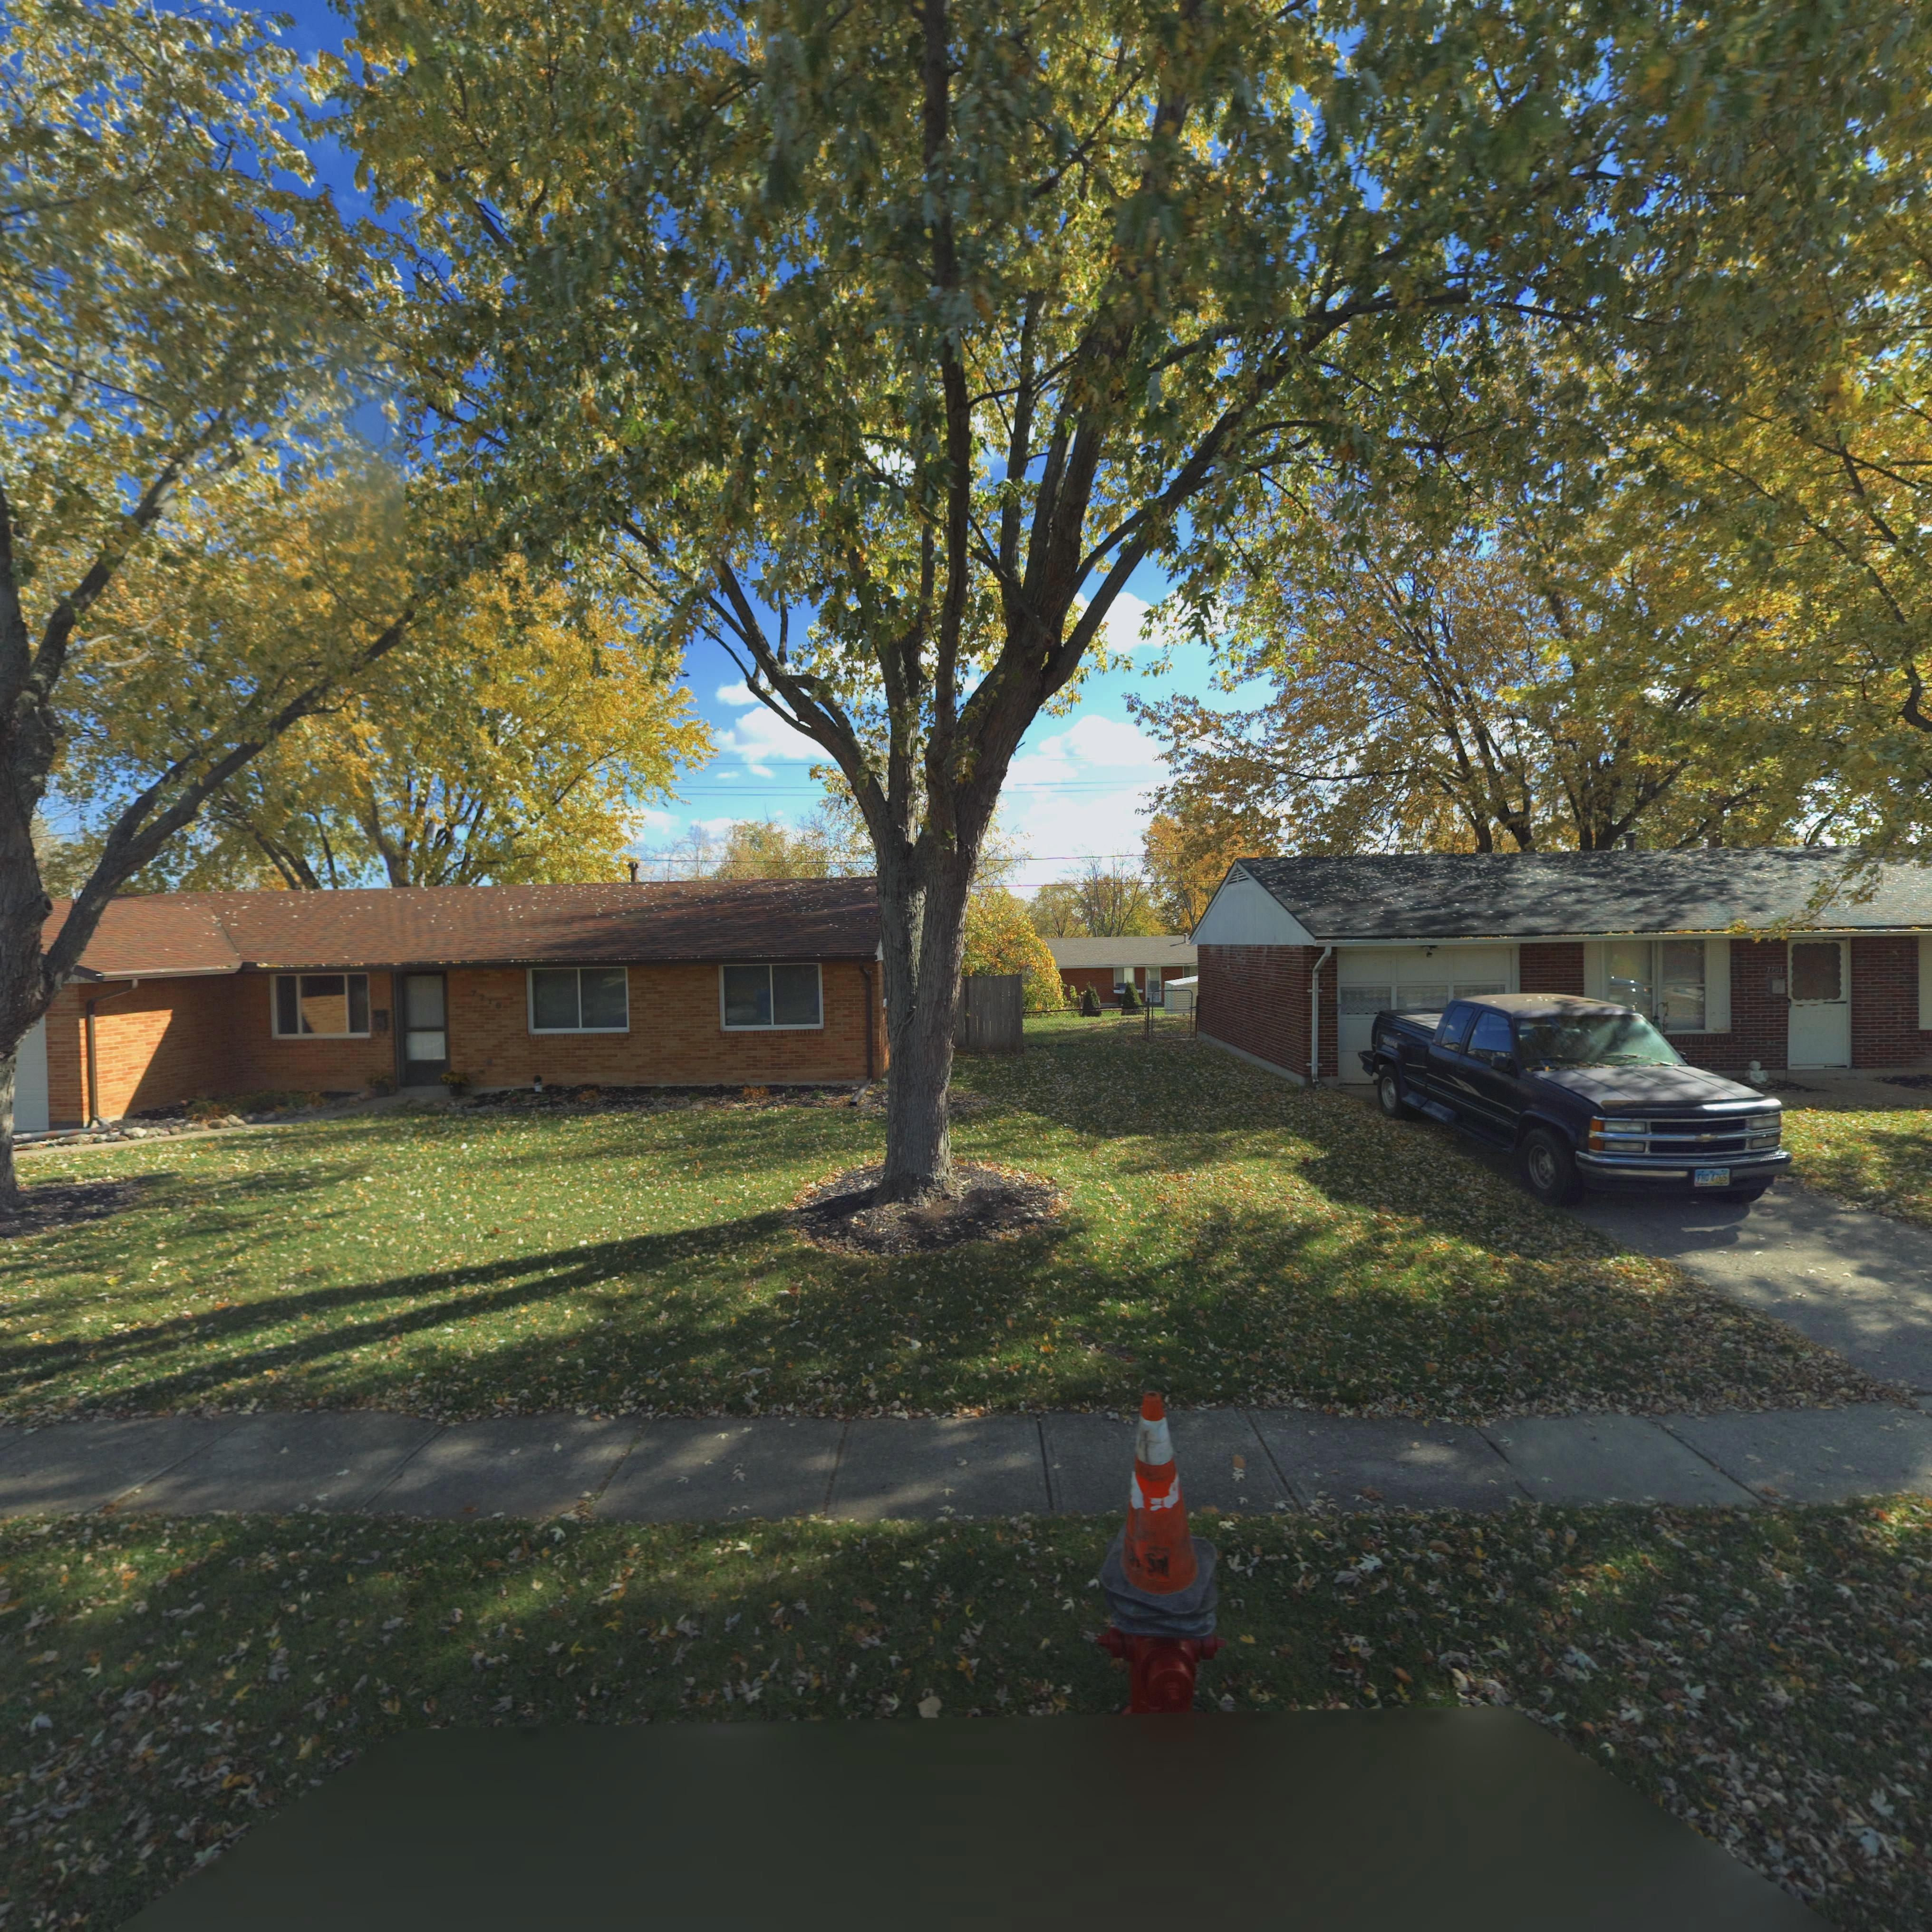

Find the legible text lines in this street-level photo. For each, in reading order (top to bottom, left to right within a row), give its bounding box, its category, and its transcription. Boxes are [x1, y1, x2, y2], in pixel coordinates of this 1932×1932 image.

[1766, 966, 1784, 974] StreetNumber: 7701
[470, 989, 502, 1011] StreetNumber: 771*